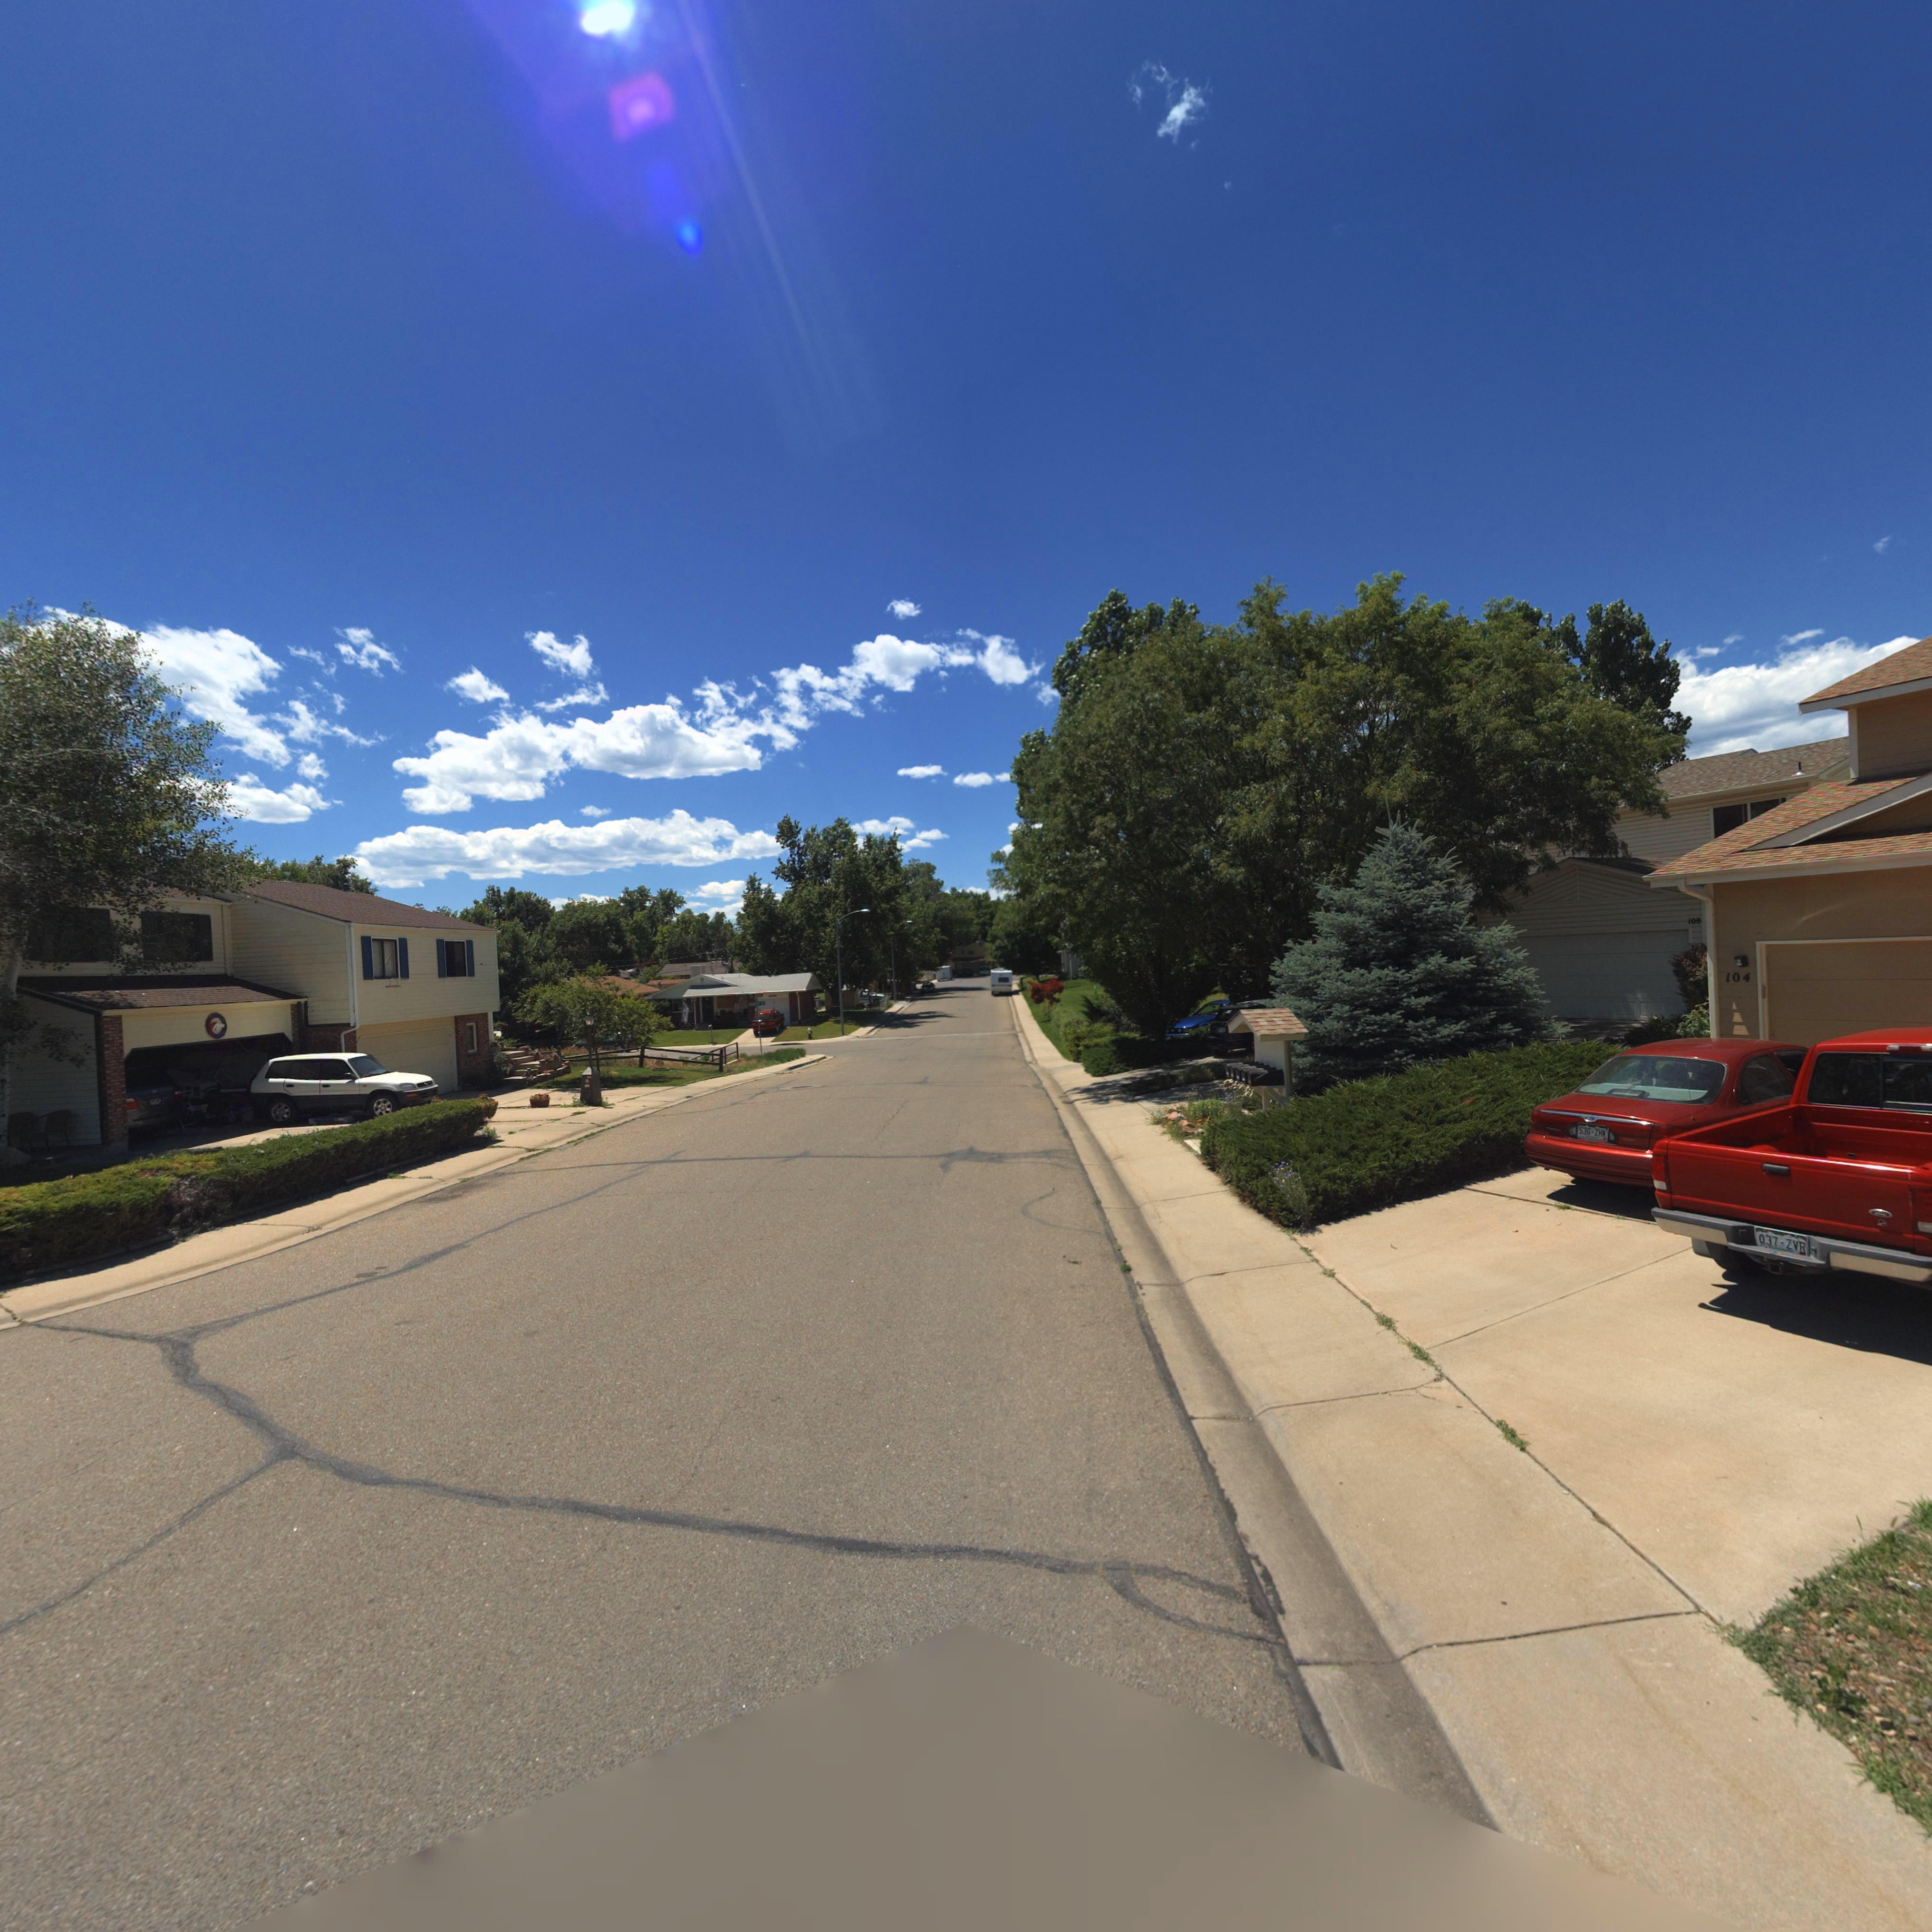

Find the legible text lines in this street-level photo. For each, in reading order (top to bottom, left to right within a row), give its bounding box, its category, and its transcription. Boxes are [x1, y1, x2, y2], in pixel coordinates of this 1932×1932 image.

[1688, 917, 1701, 925] StreetNumber: 108
[1725, 971, 1751, 983] StreetNumber: 104